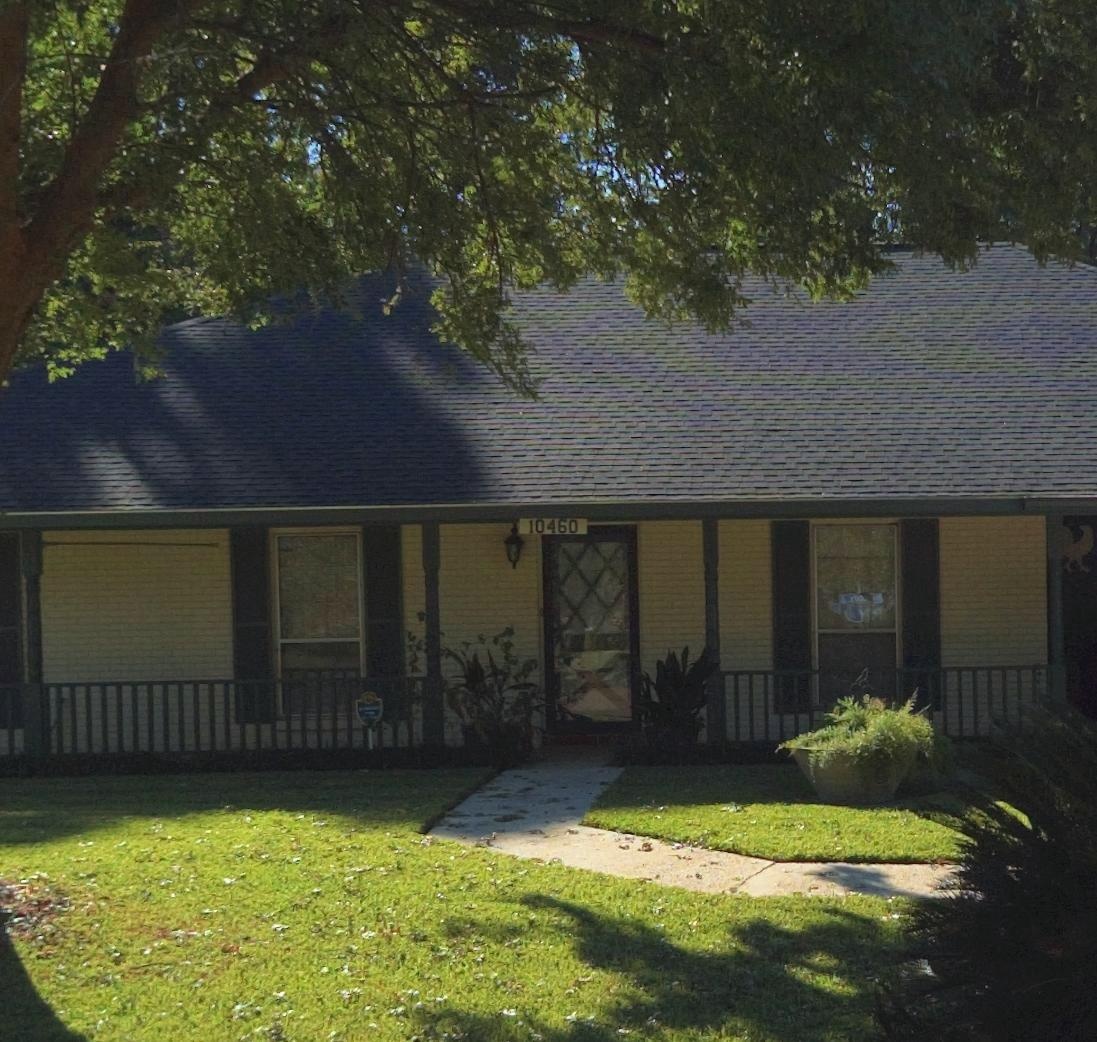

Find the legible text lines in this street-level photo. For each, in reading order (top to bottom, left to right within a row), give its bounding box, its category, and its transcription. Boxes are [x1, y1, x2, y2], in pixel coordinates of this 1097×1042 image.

[527, 516, 580, 535] StreetNumber: 10460